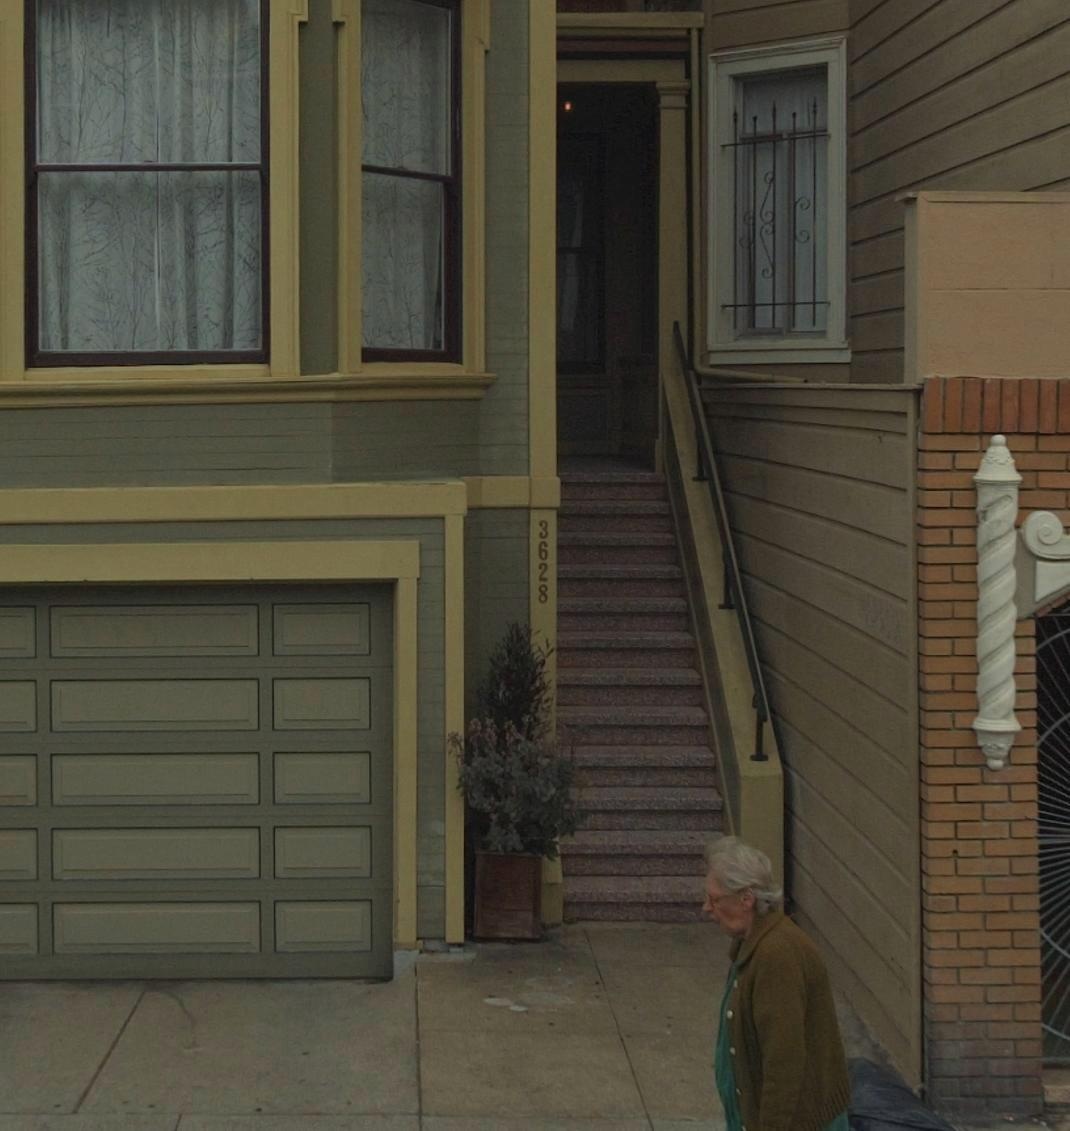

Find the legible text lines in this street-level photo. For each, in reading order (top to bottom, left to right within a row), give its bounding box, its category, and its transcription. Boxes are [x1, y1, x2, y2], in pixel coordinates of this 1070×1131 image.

[537, 518, 549, 605] StreetNumber: 3628